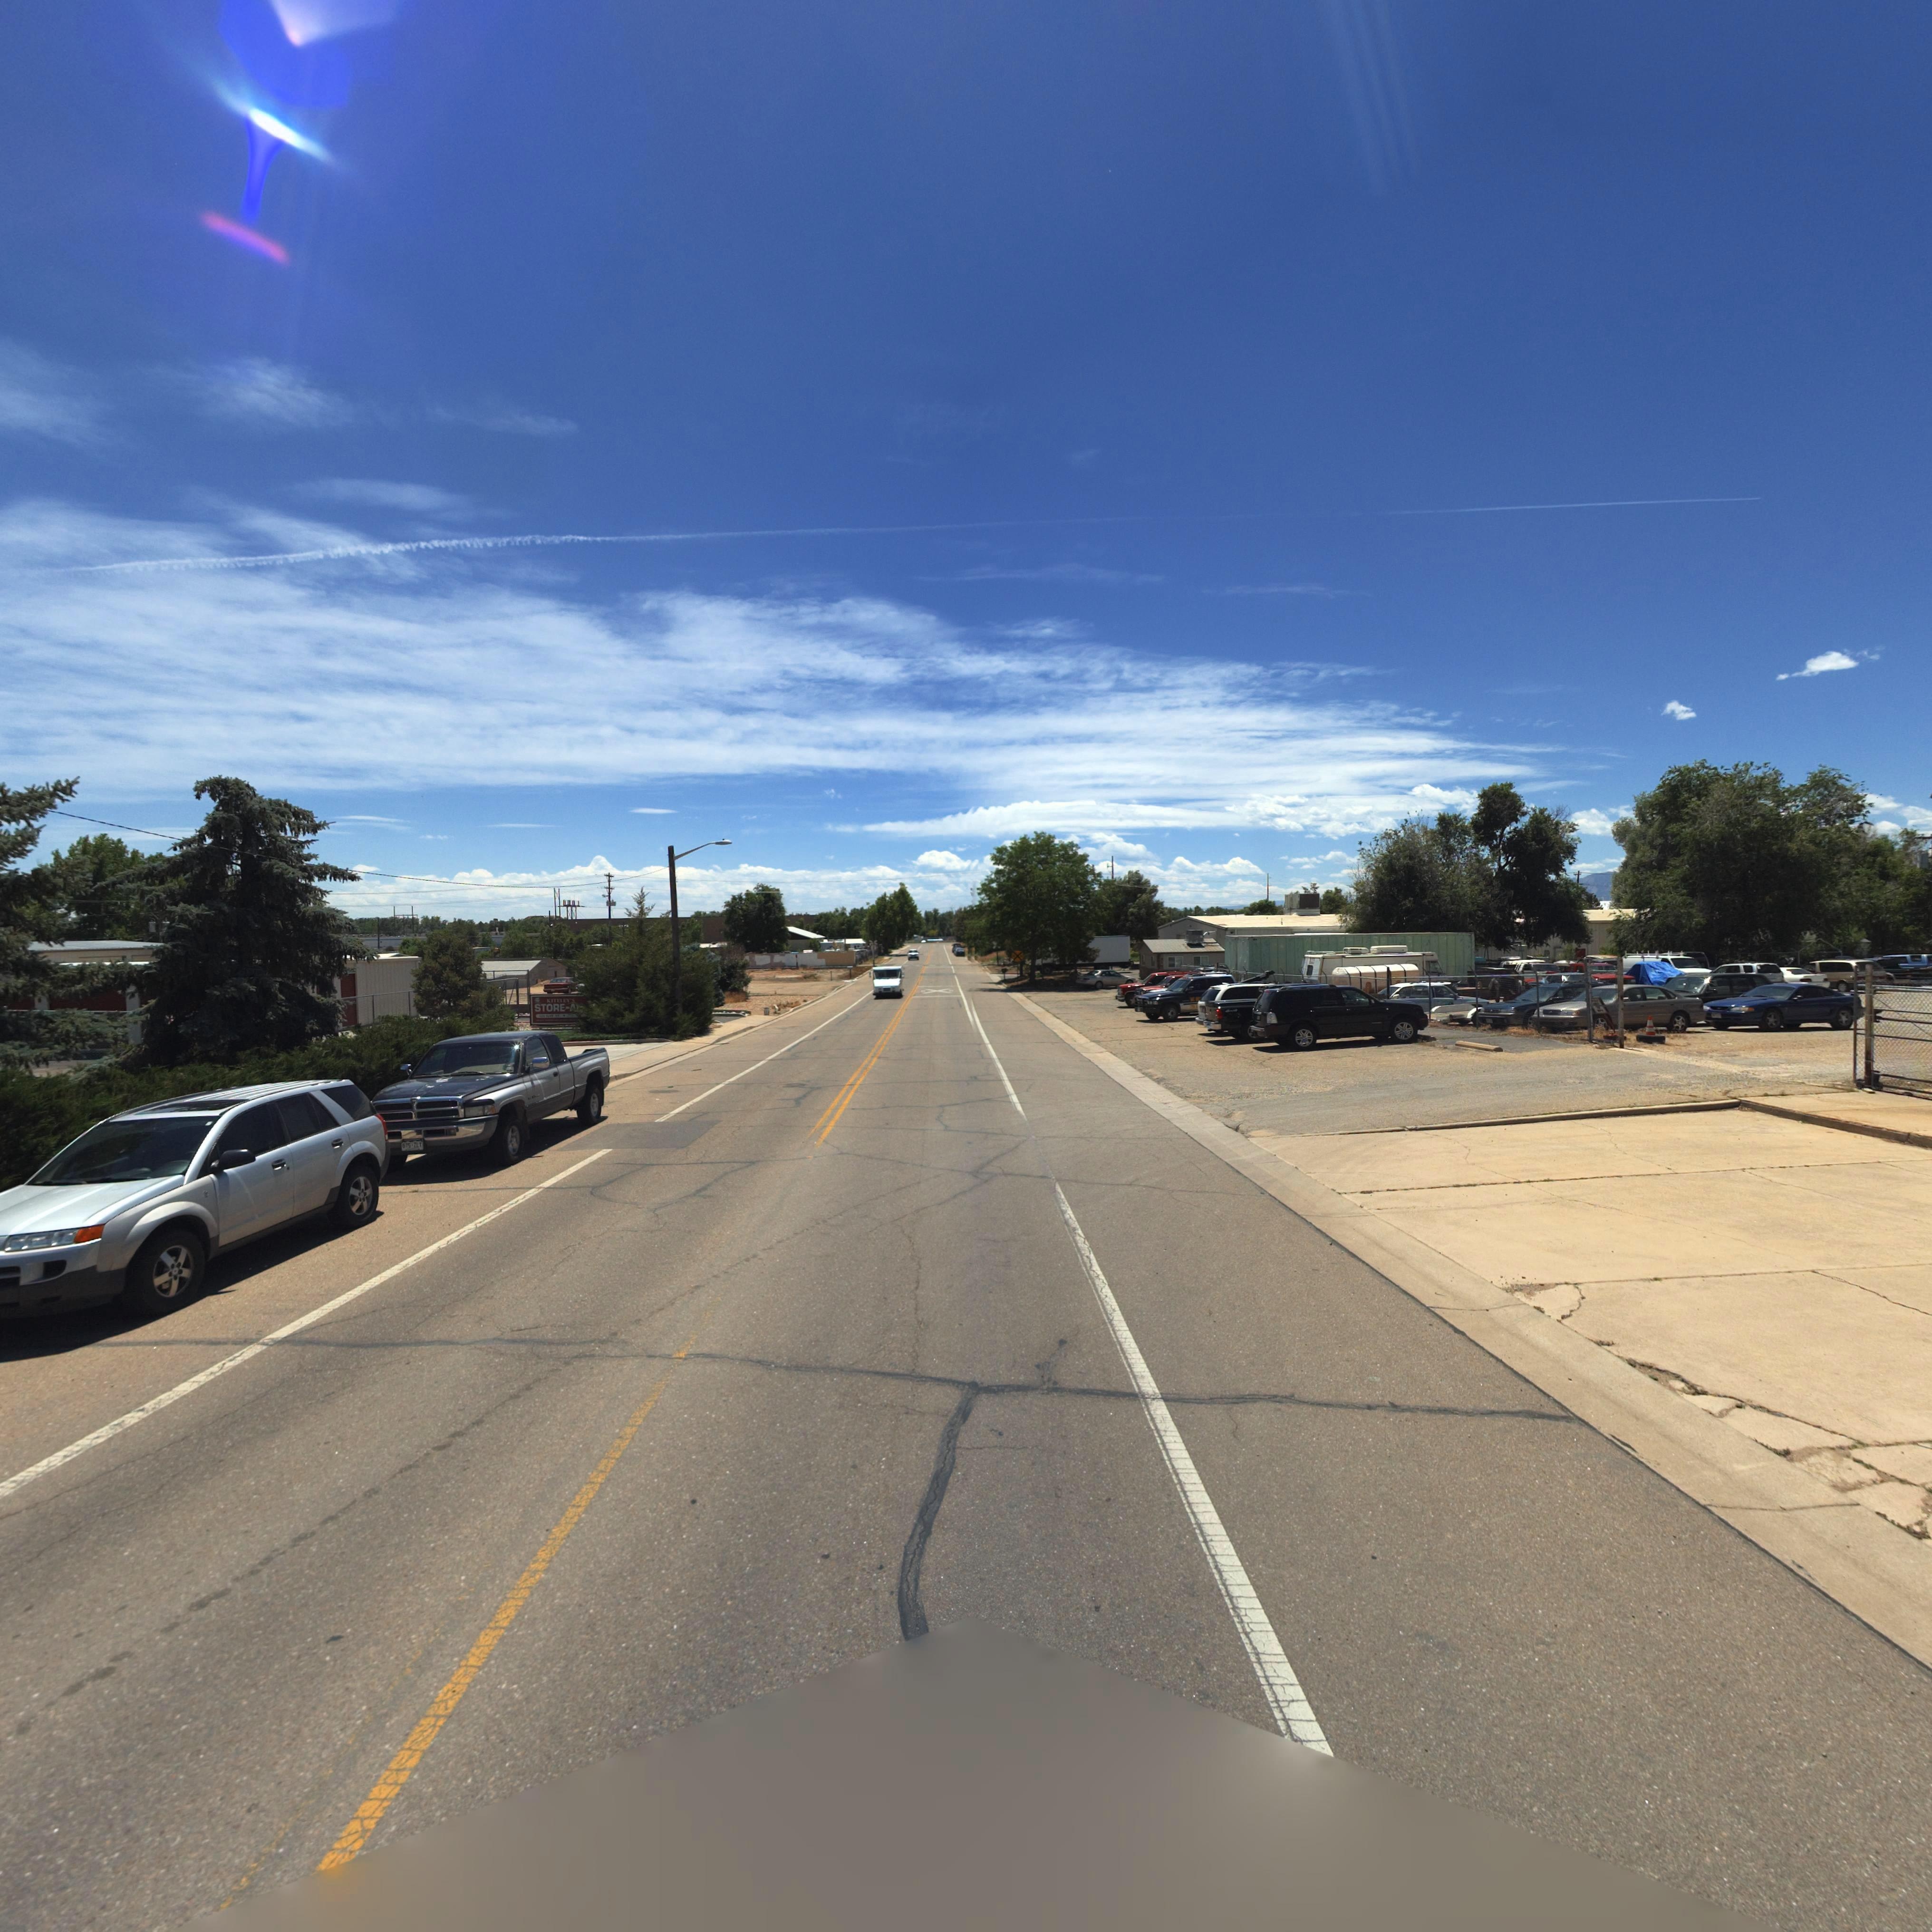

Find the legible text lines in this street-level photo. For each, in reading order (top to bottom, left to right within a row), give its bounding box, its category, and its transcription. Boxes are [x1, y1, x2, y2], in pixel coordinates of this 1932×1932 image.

[546, 997, 575, 1004] BusinessName: K**E*EY'S
[534, 1003, 577, 1012] BusinessName: STORE-A
[539, 1014, 545, 1017] StreetNumber: *1*
[546, 1014, 560, 1017] StreetName: *** S*